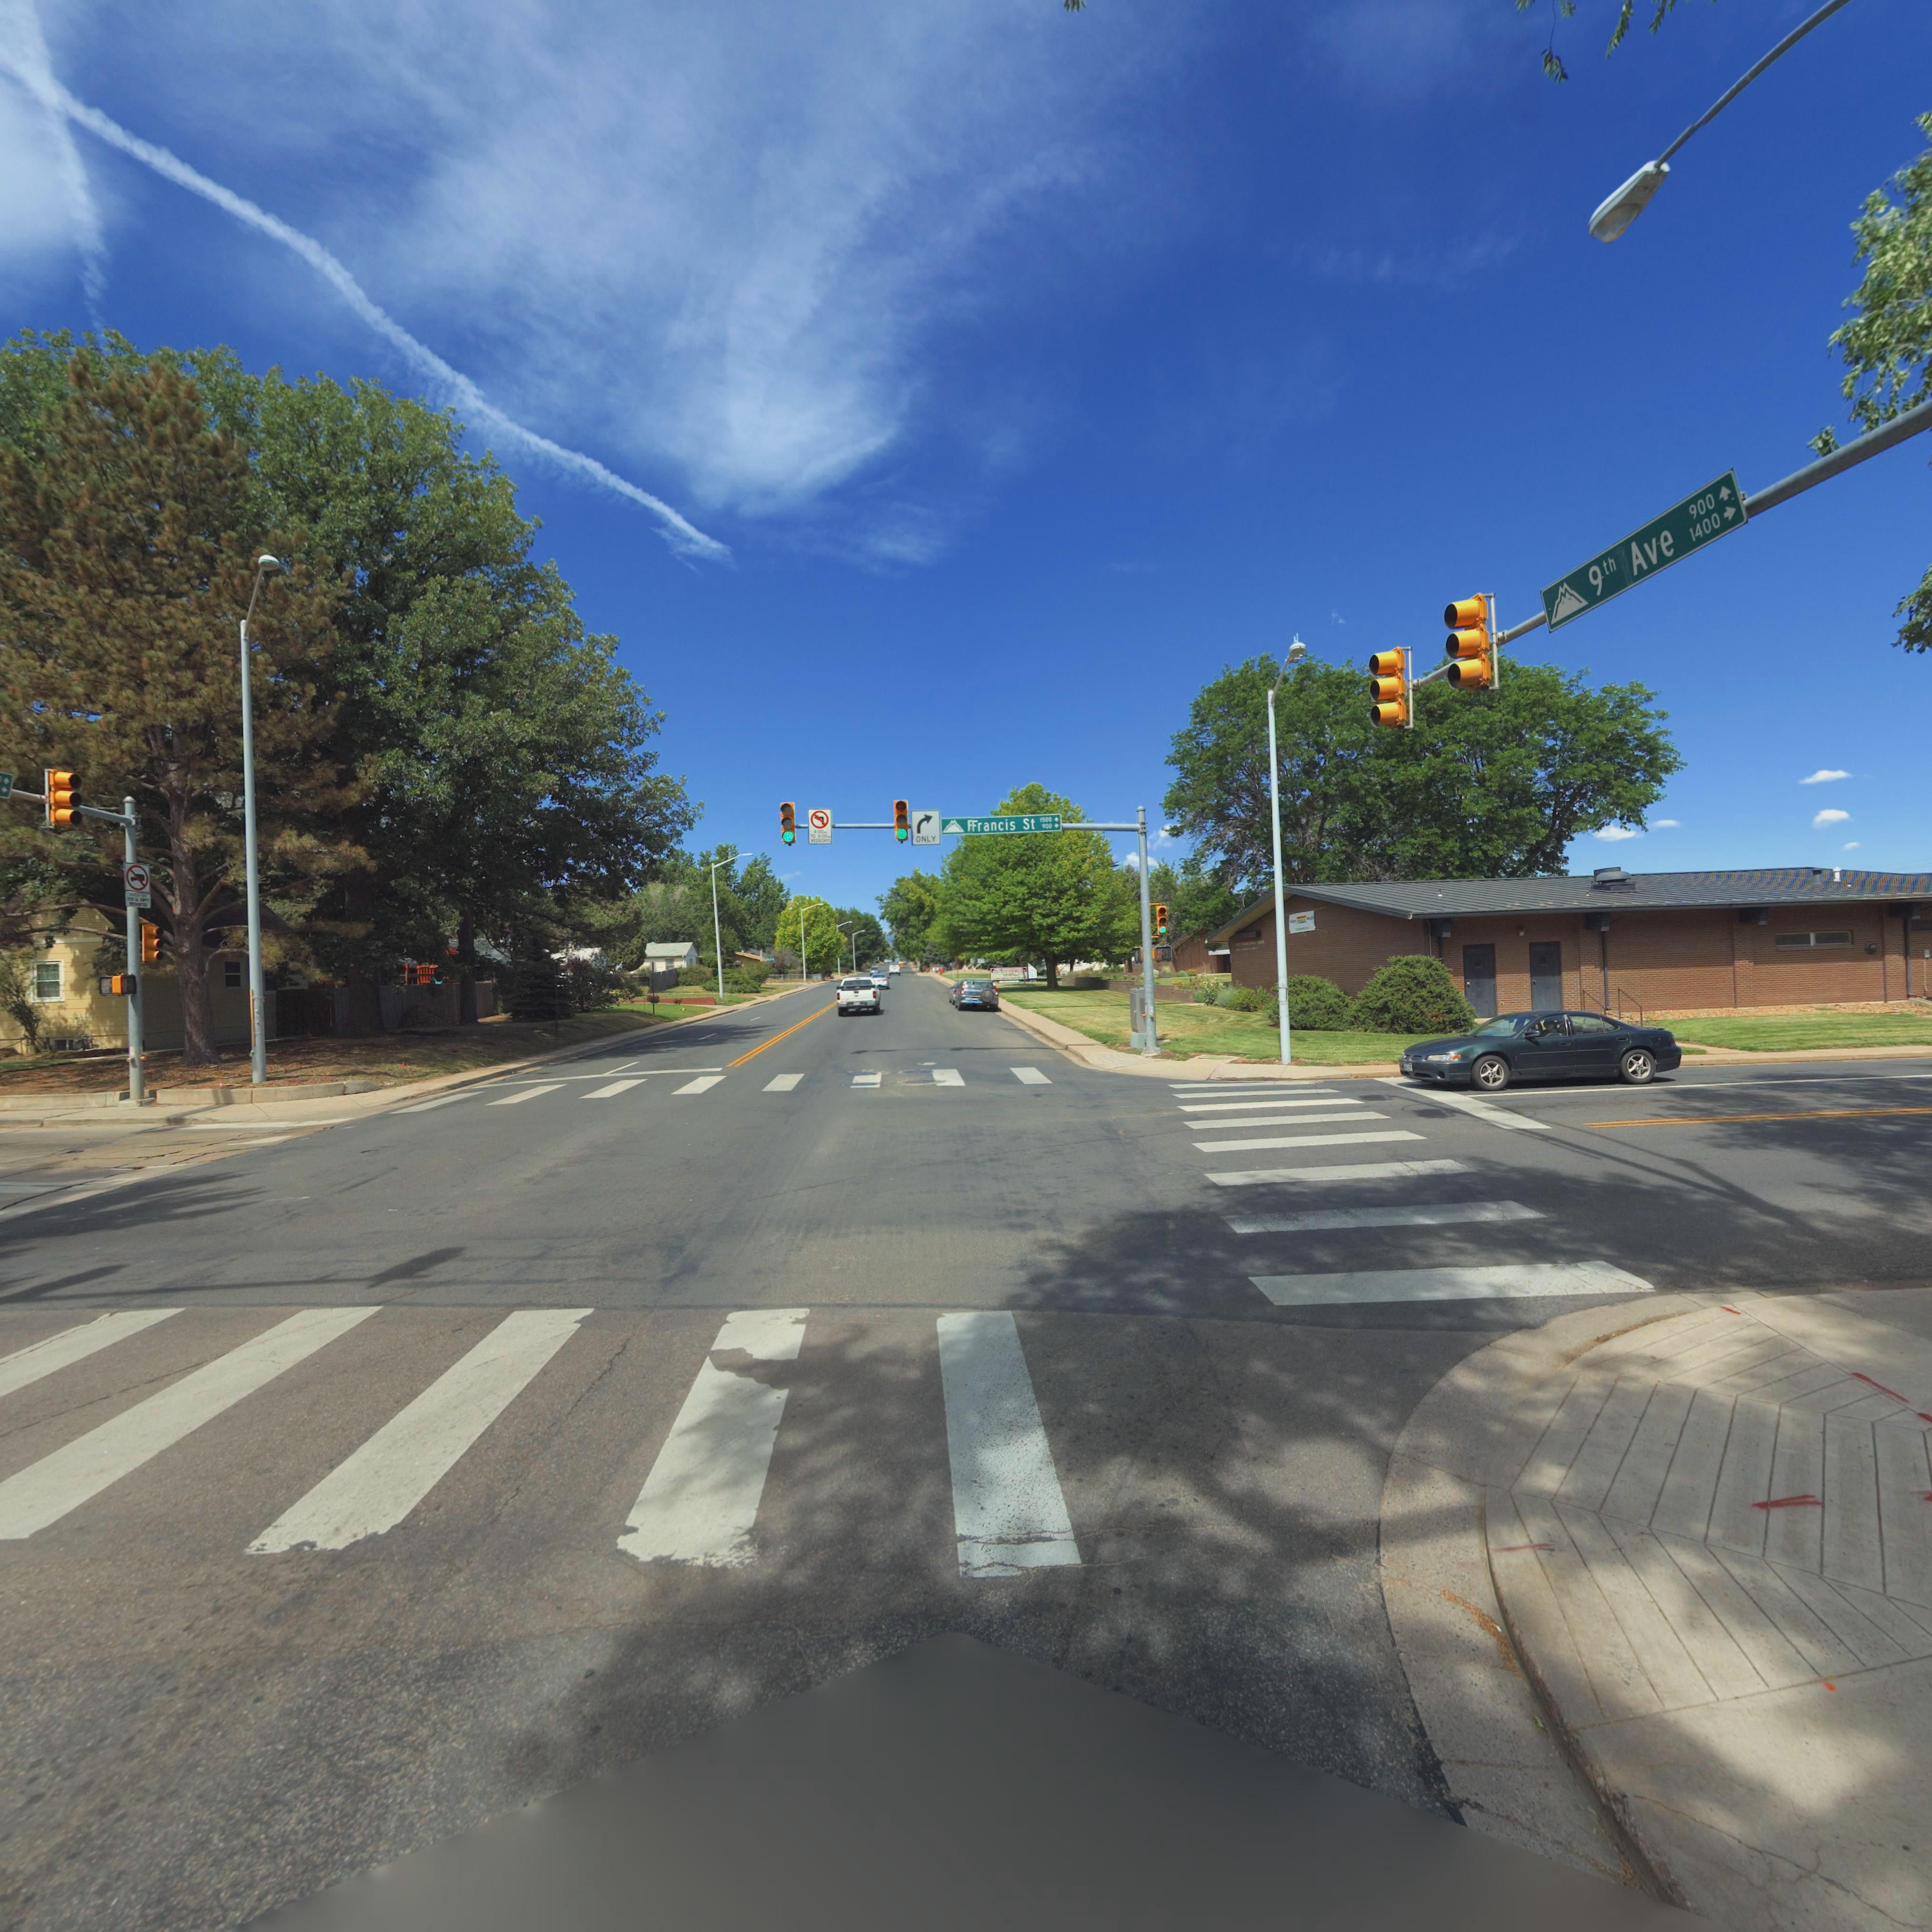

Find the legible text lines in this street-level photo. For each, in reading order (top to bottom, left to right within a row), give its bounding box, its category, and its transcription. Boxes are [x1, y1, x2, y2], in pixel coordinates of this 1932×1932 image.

[1688, 493, 1715, 521] StreetNumberRange: 900
[1688, 505, 1737, 542] StreetNumberRange: 1400->
[1587, 528, 1675, 597] StreetName: 9th Ave
[966, 817, 1036, 832] StreetName: *Francis
[1040, 816, 1052, 822] StreetNumberRange: 1500
[1042, 822, 1059, 829] StreetNumberRange: 900->